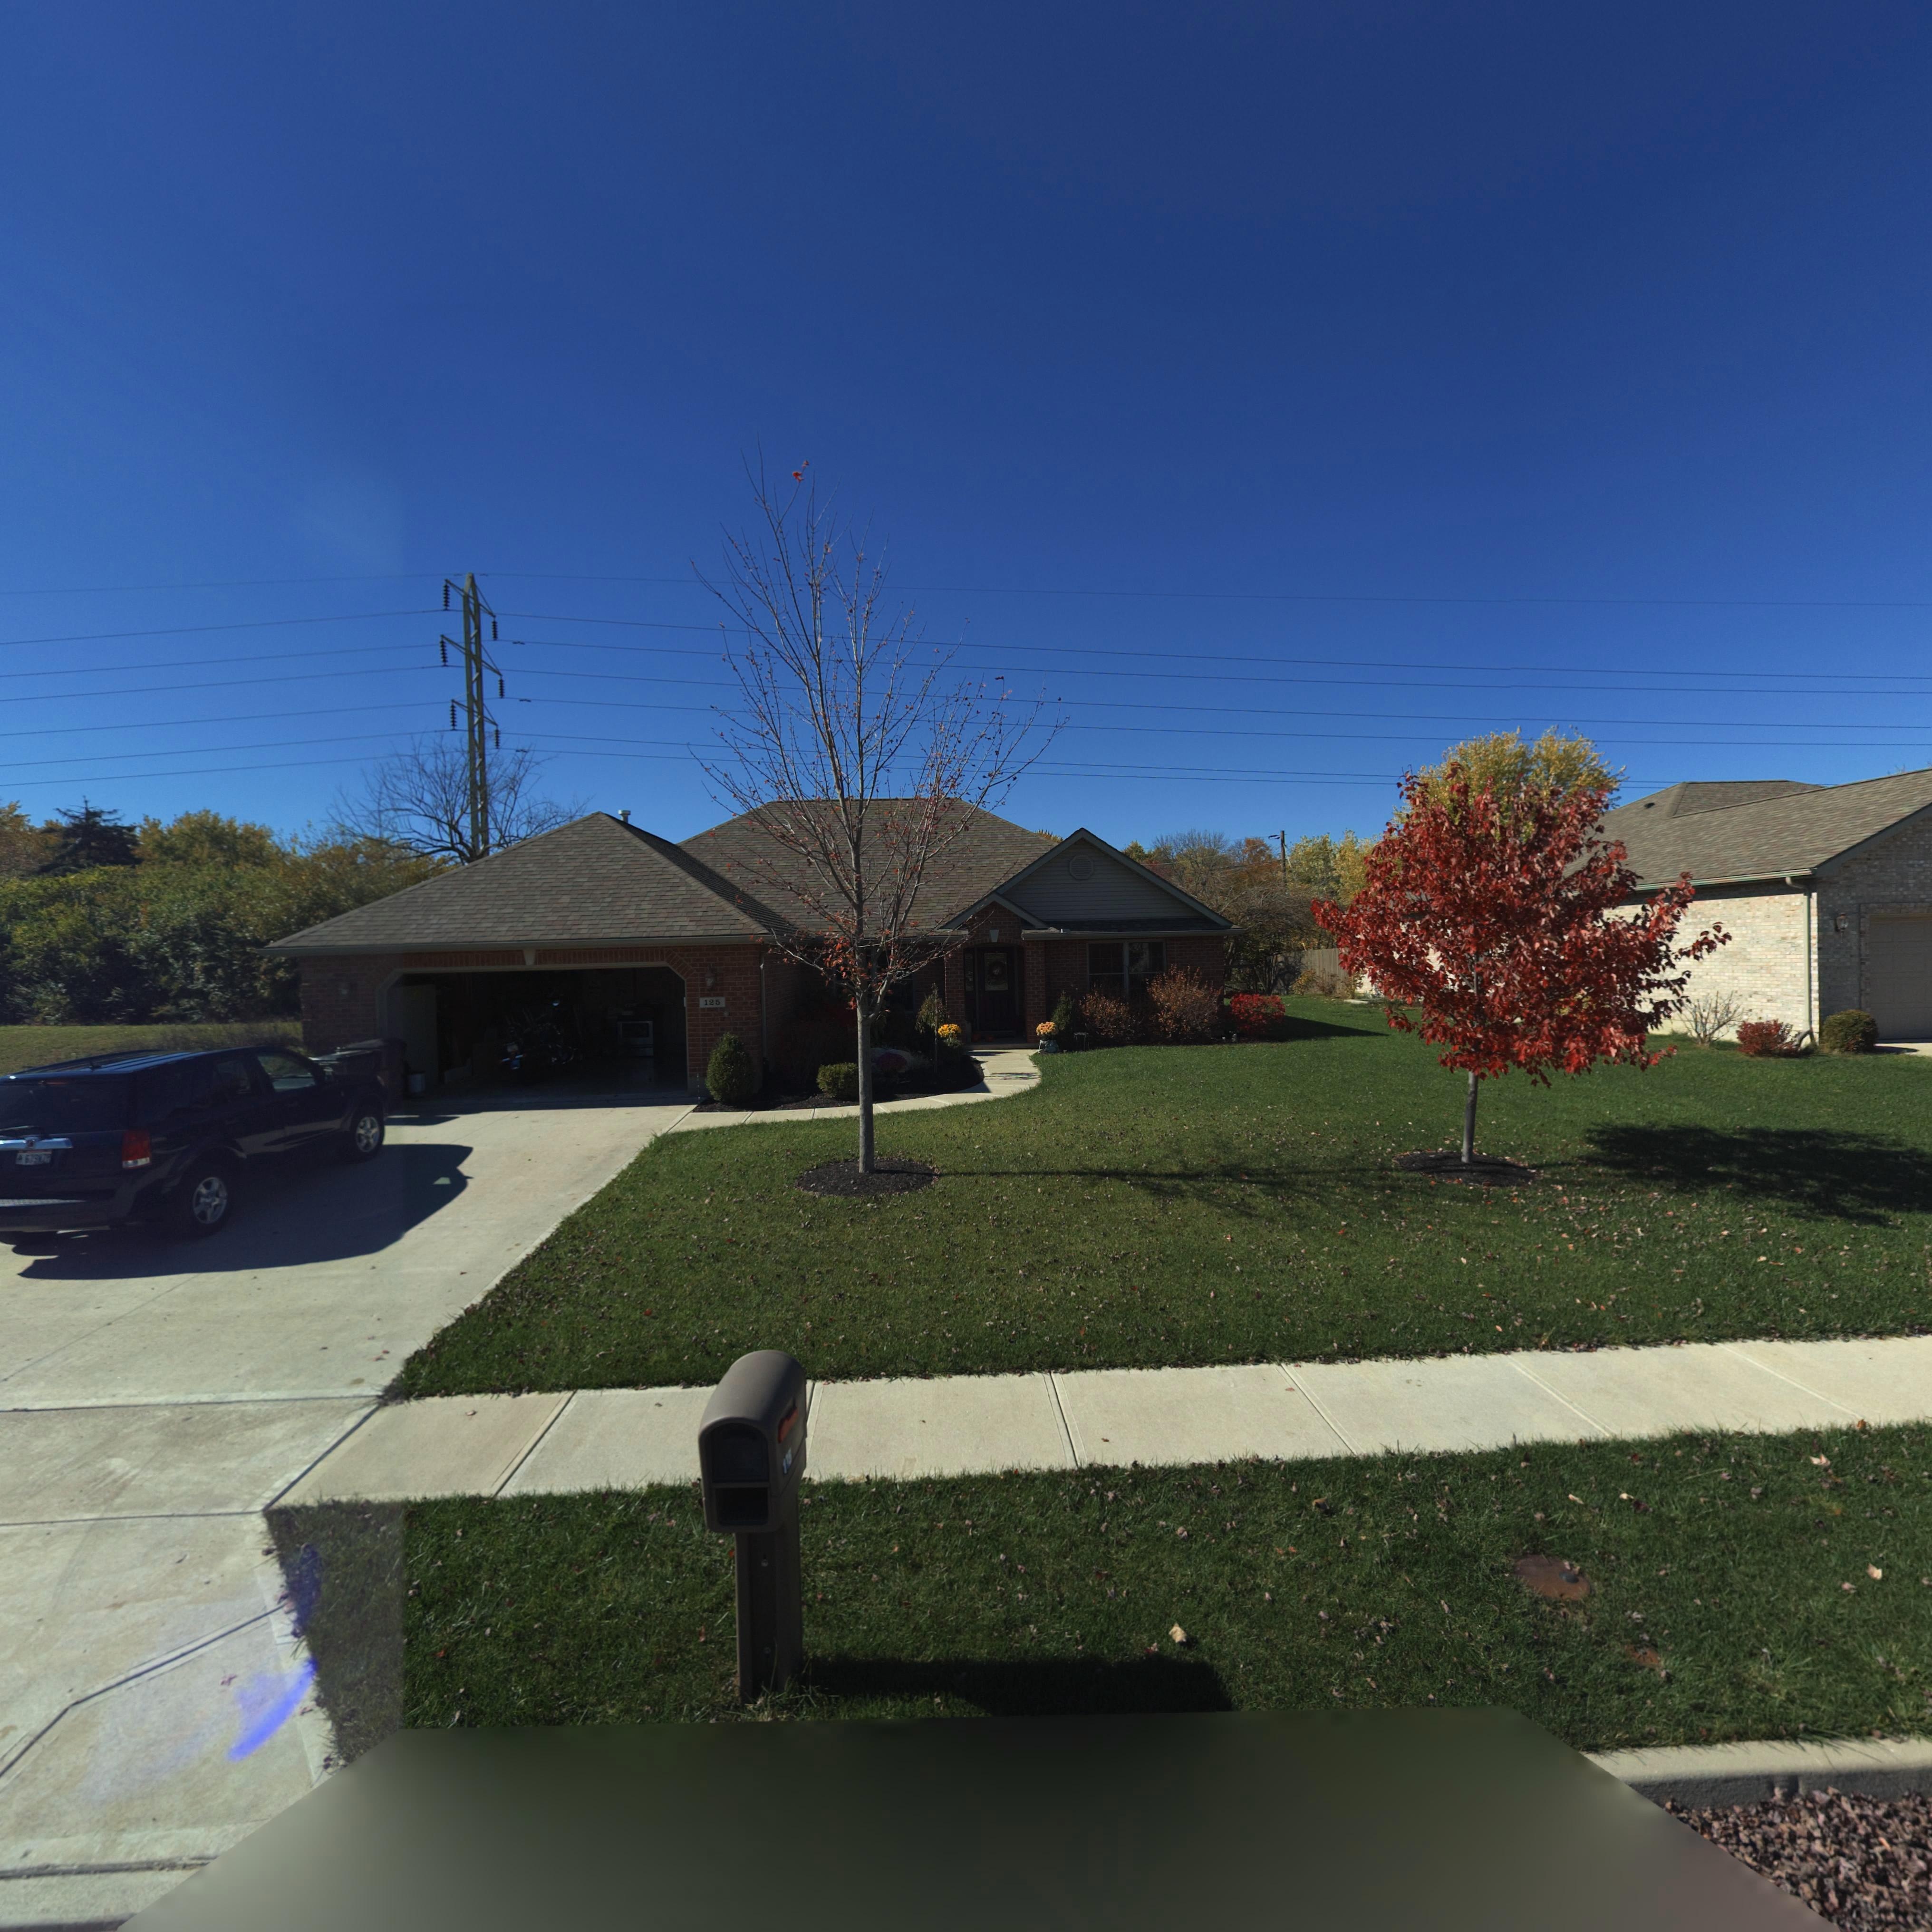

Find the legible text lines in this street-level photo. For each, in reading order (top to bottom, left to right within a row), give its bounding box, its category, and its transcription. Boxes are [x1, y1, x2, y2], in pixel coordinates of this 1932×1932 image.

[703, 998, 721, 1006] StreetNumber: 125
[782, 1445, 793, 1476] StreetNumber: 1**